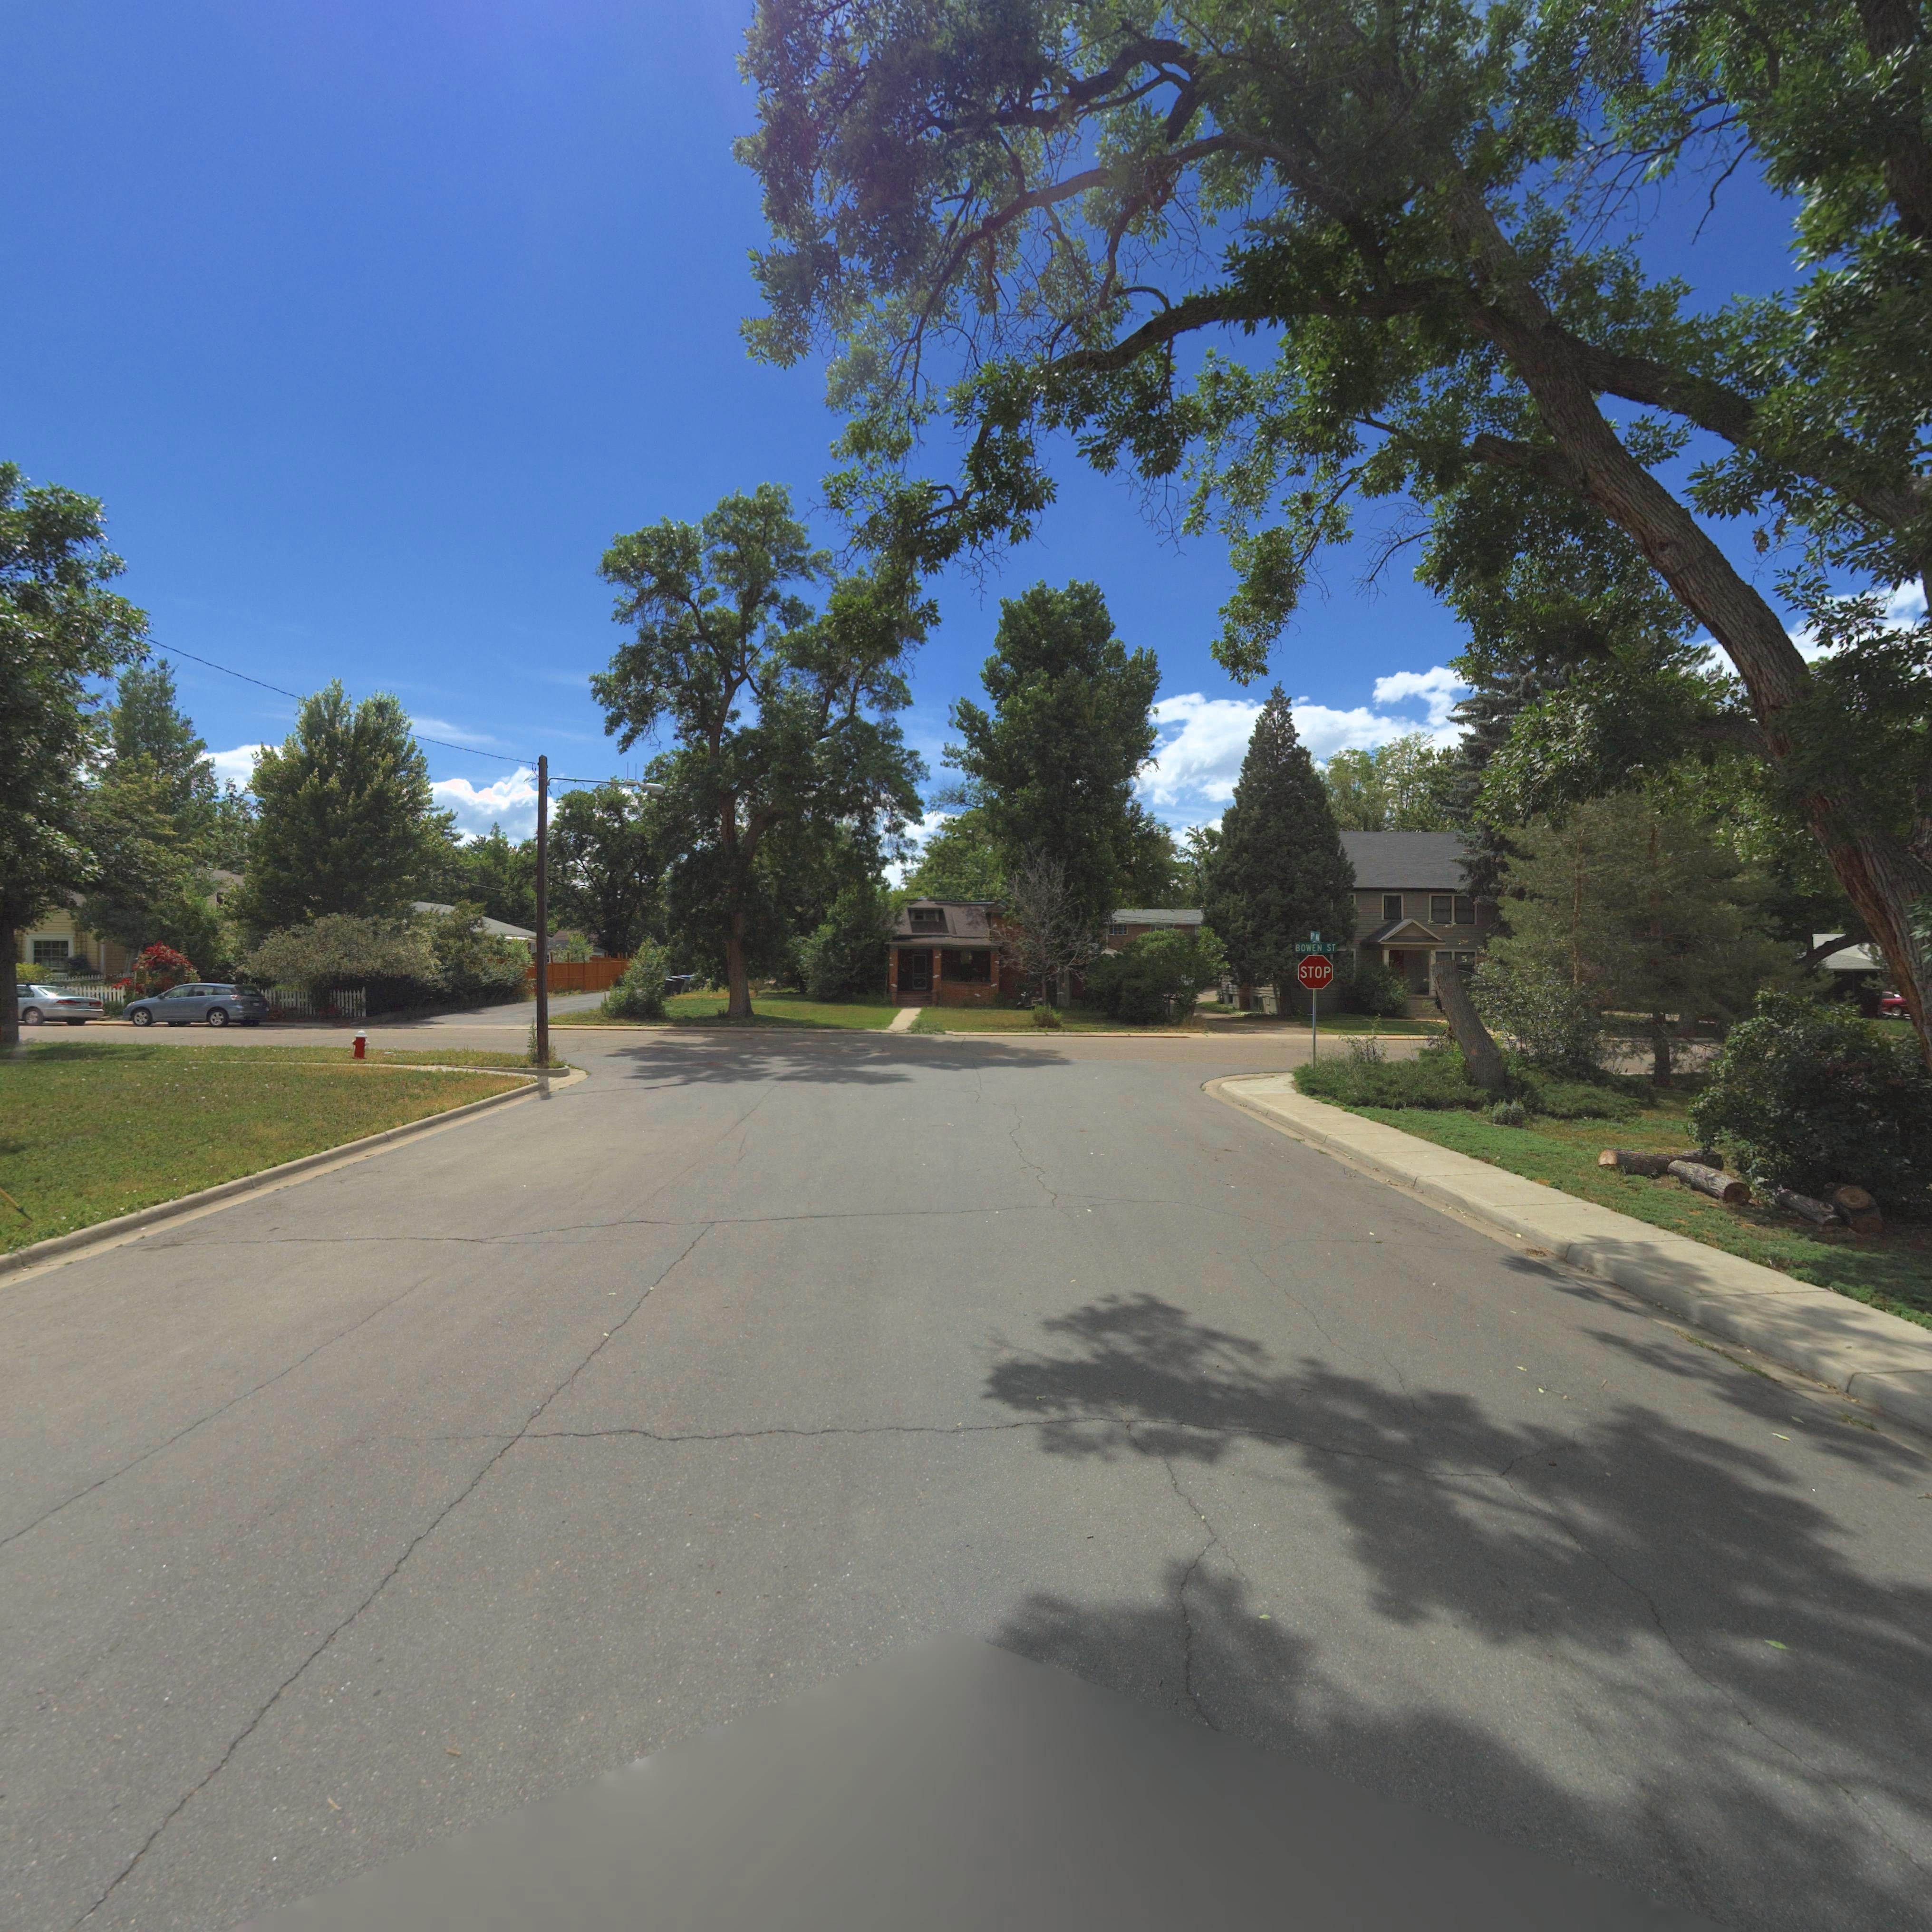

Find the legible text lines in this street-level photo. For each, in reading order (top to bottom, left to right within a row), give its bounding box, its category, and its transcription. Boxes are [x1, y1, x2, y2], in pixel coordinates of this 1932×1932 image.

[1310, 931, 1320, 942] StreetName: 8TH AV
[1295, 943, 1335, 952] StreetName: BOWEN ST